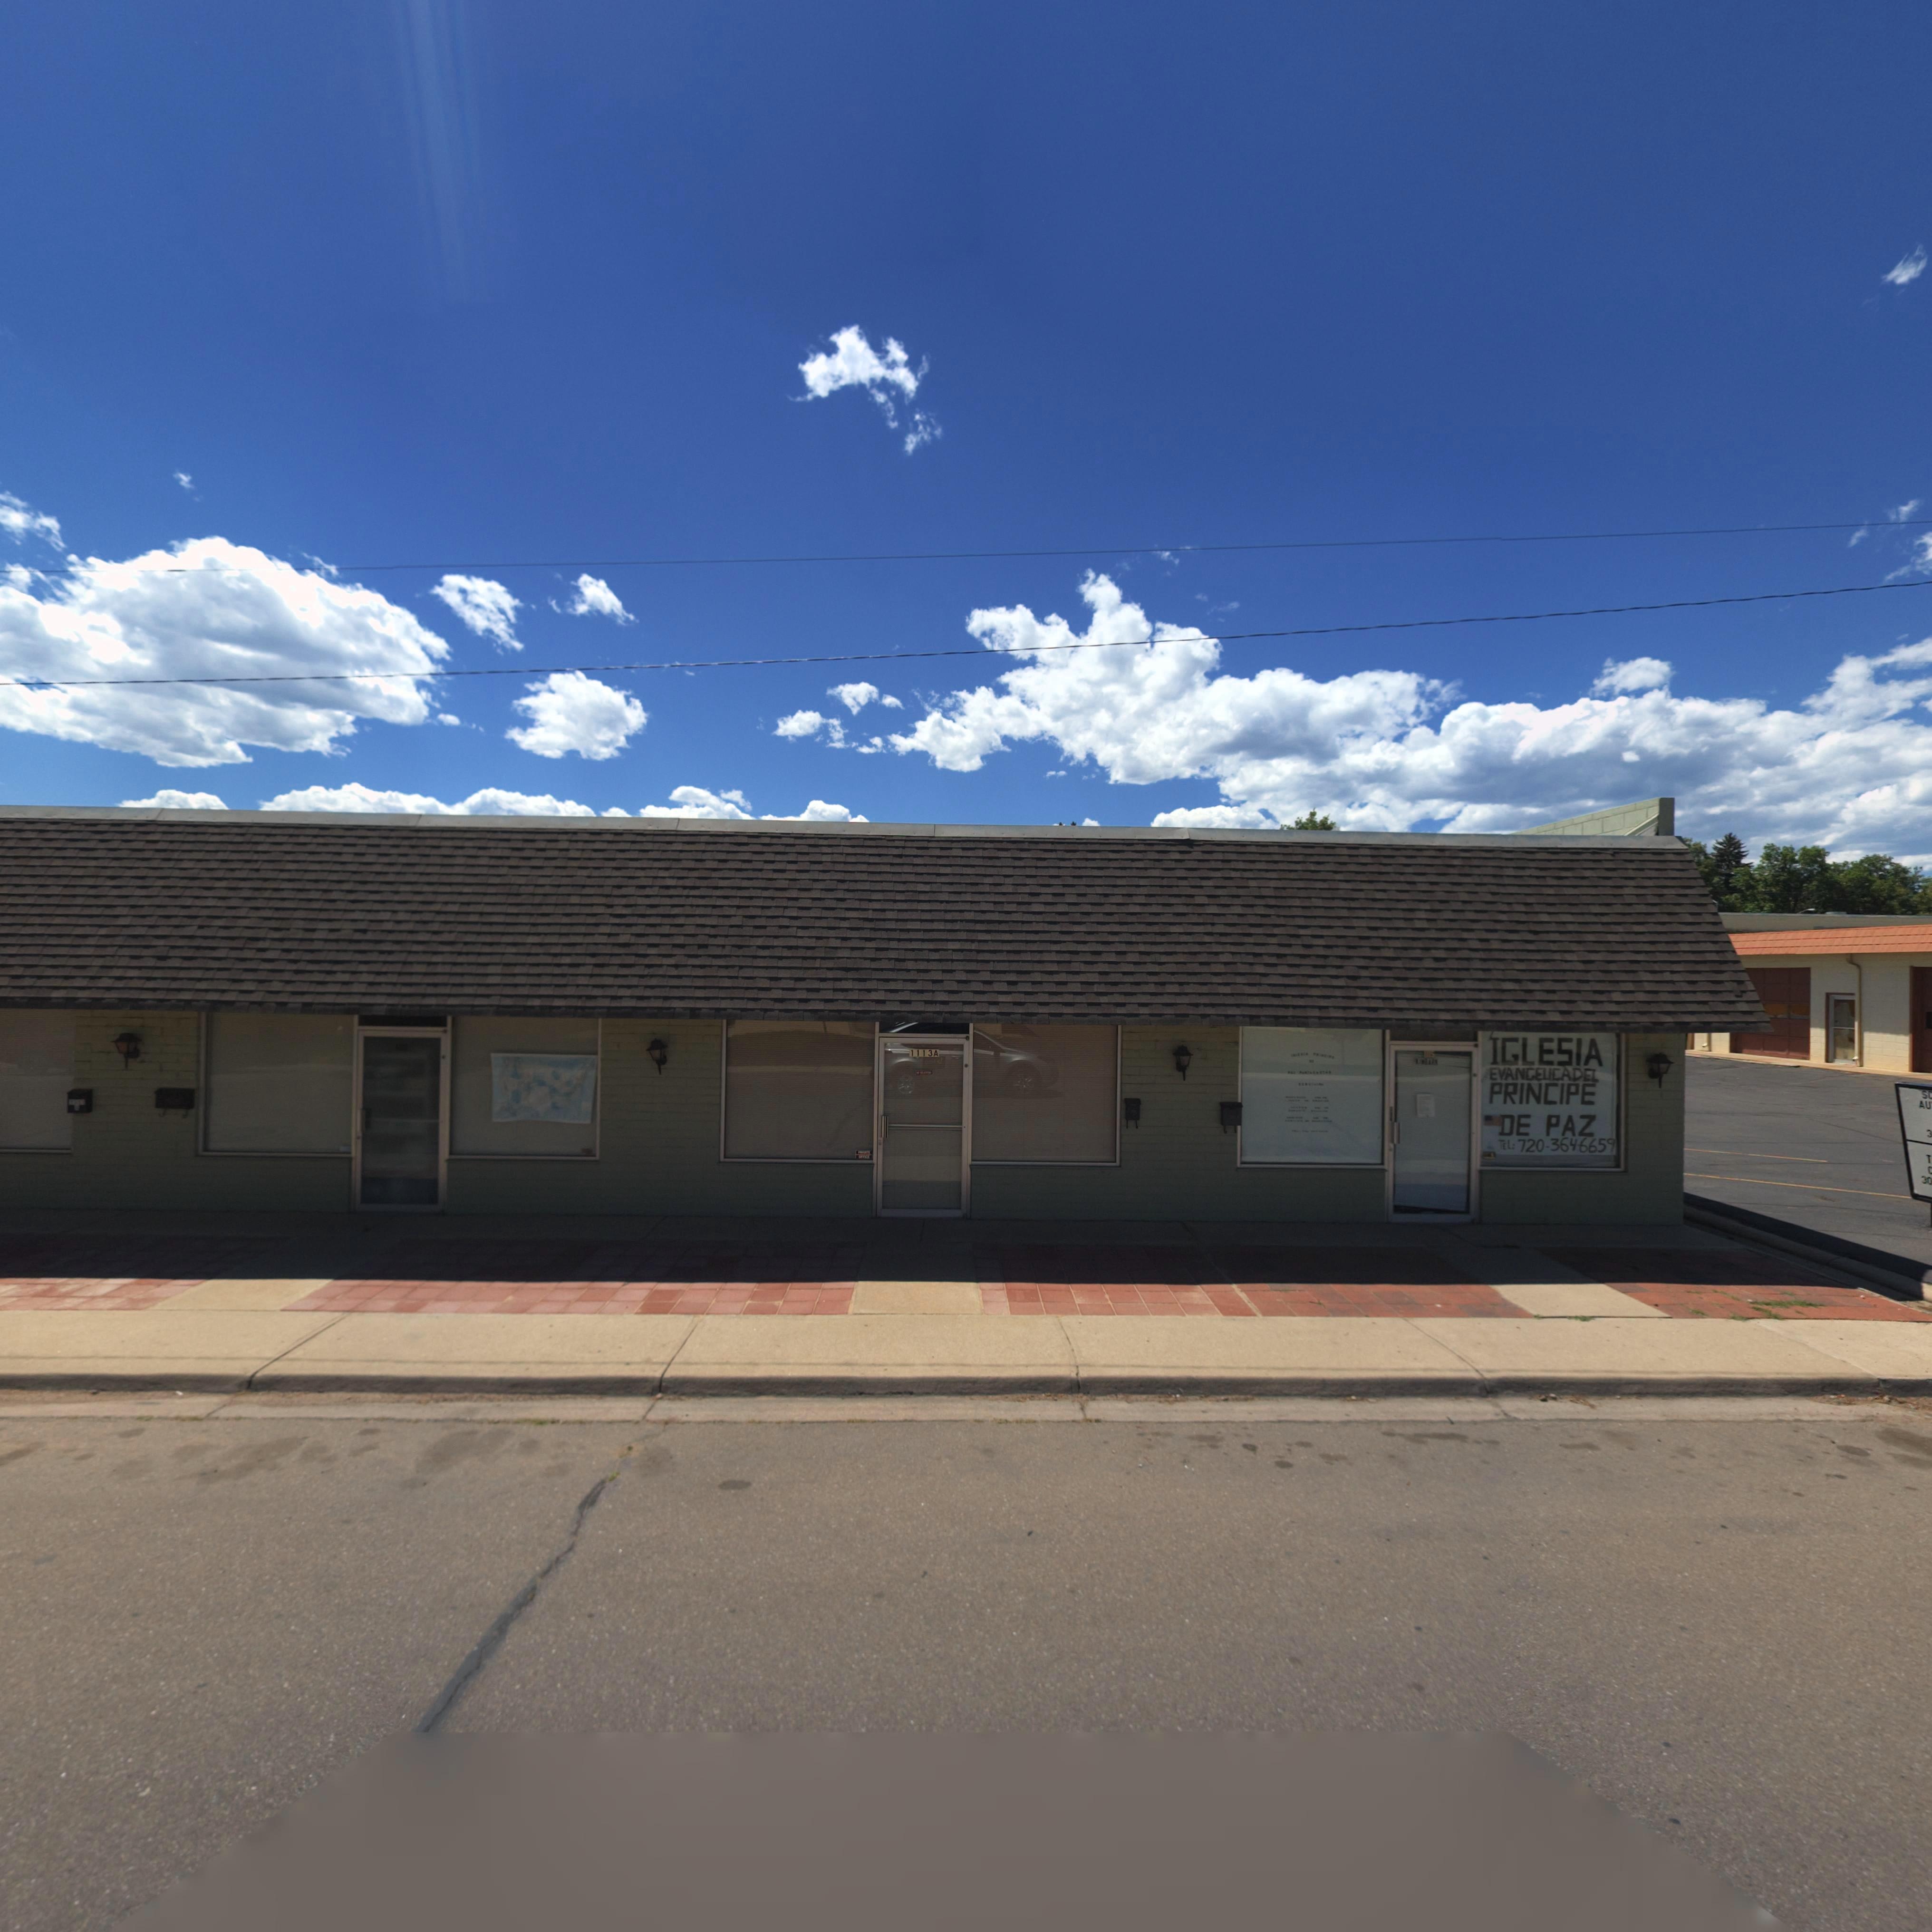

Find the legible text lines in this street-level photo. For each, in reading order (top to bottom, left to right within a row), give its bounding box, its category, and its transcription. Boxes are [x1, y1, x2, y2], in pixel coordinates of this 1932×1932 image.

[910, 1049, 938, 1057] StreetNumber: 1113A
[1423, 1050, 1436, 1058] StreetNumber: 1115
[1488, 1036, 1604, 1067] BusinessName: IGLESIA
[1489, 1067, 1600, 1082] BusinessName: EVANGELICADEL
[1488, 1082, 1596, 1105] BusinessName: PRINCIPE
[1921, 1090, 1928, 1099] BusinessName: S
[1918, 1100, 1931, 1110] BusinessName: AU
[1498, 1113, 1596, 1137] BusinessName: DE PAZ
[1926, 1154, 1931, 1163] BusinessName: T